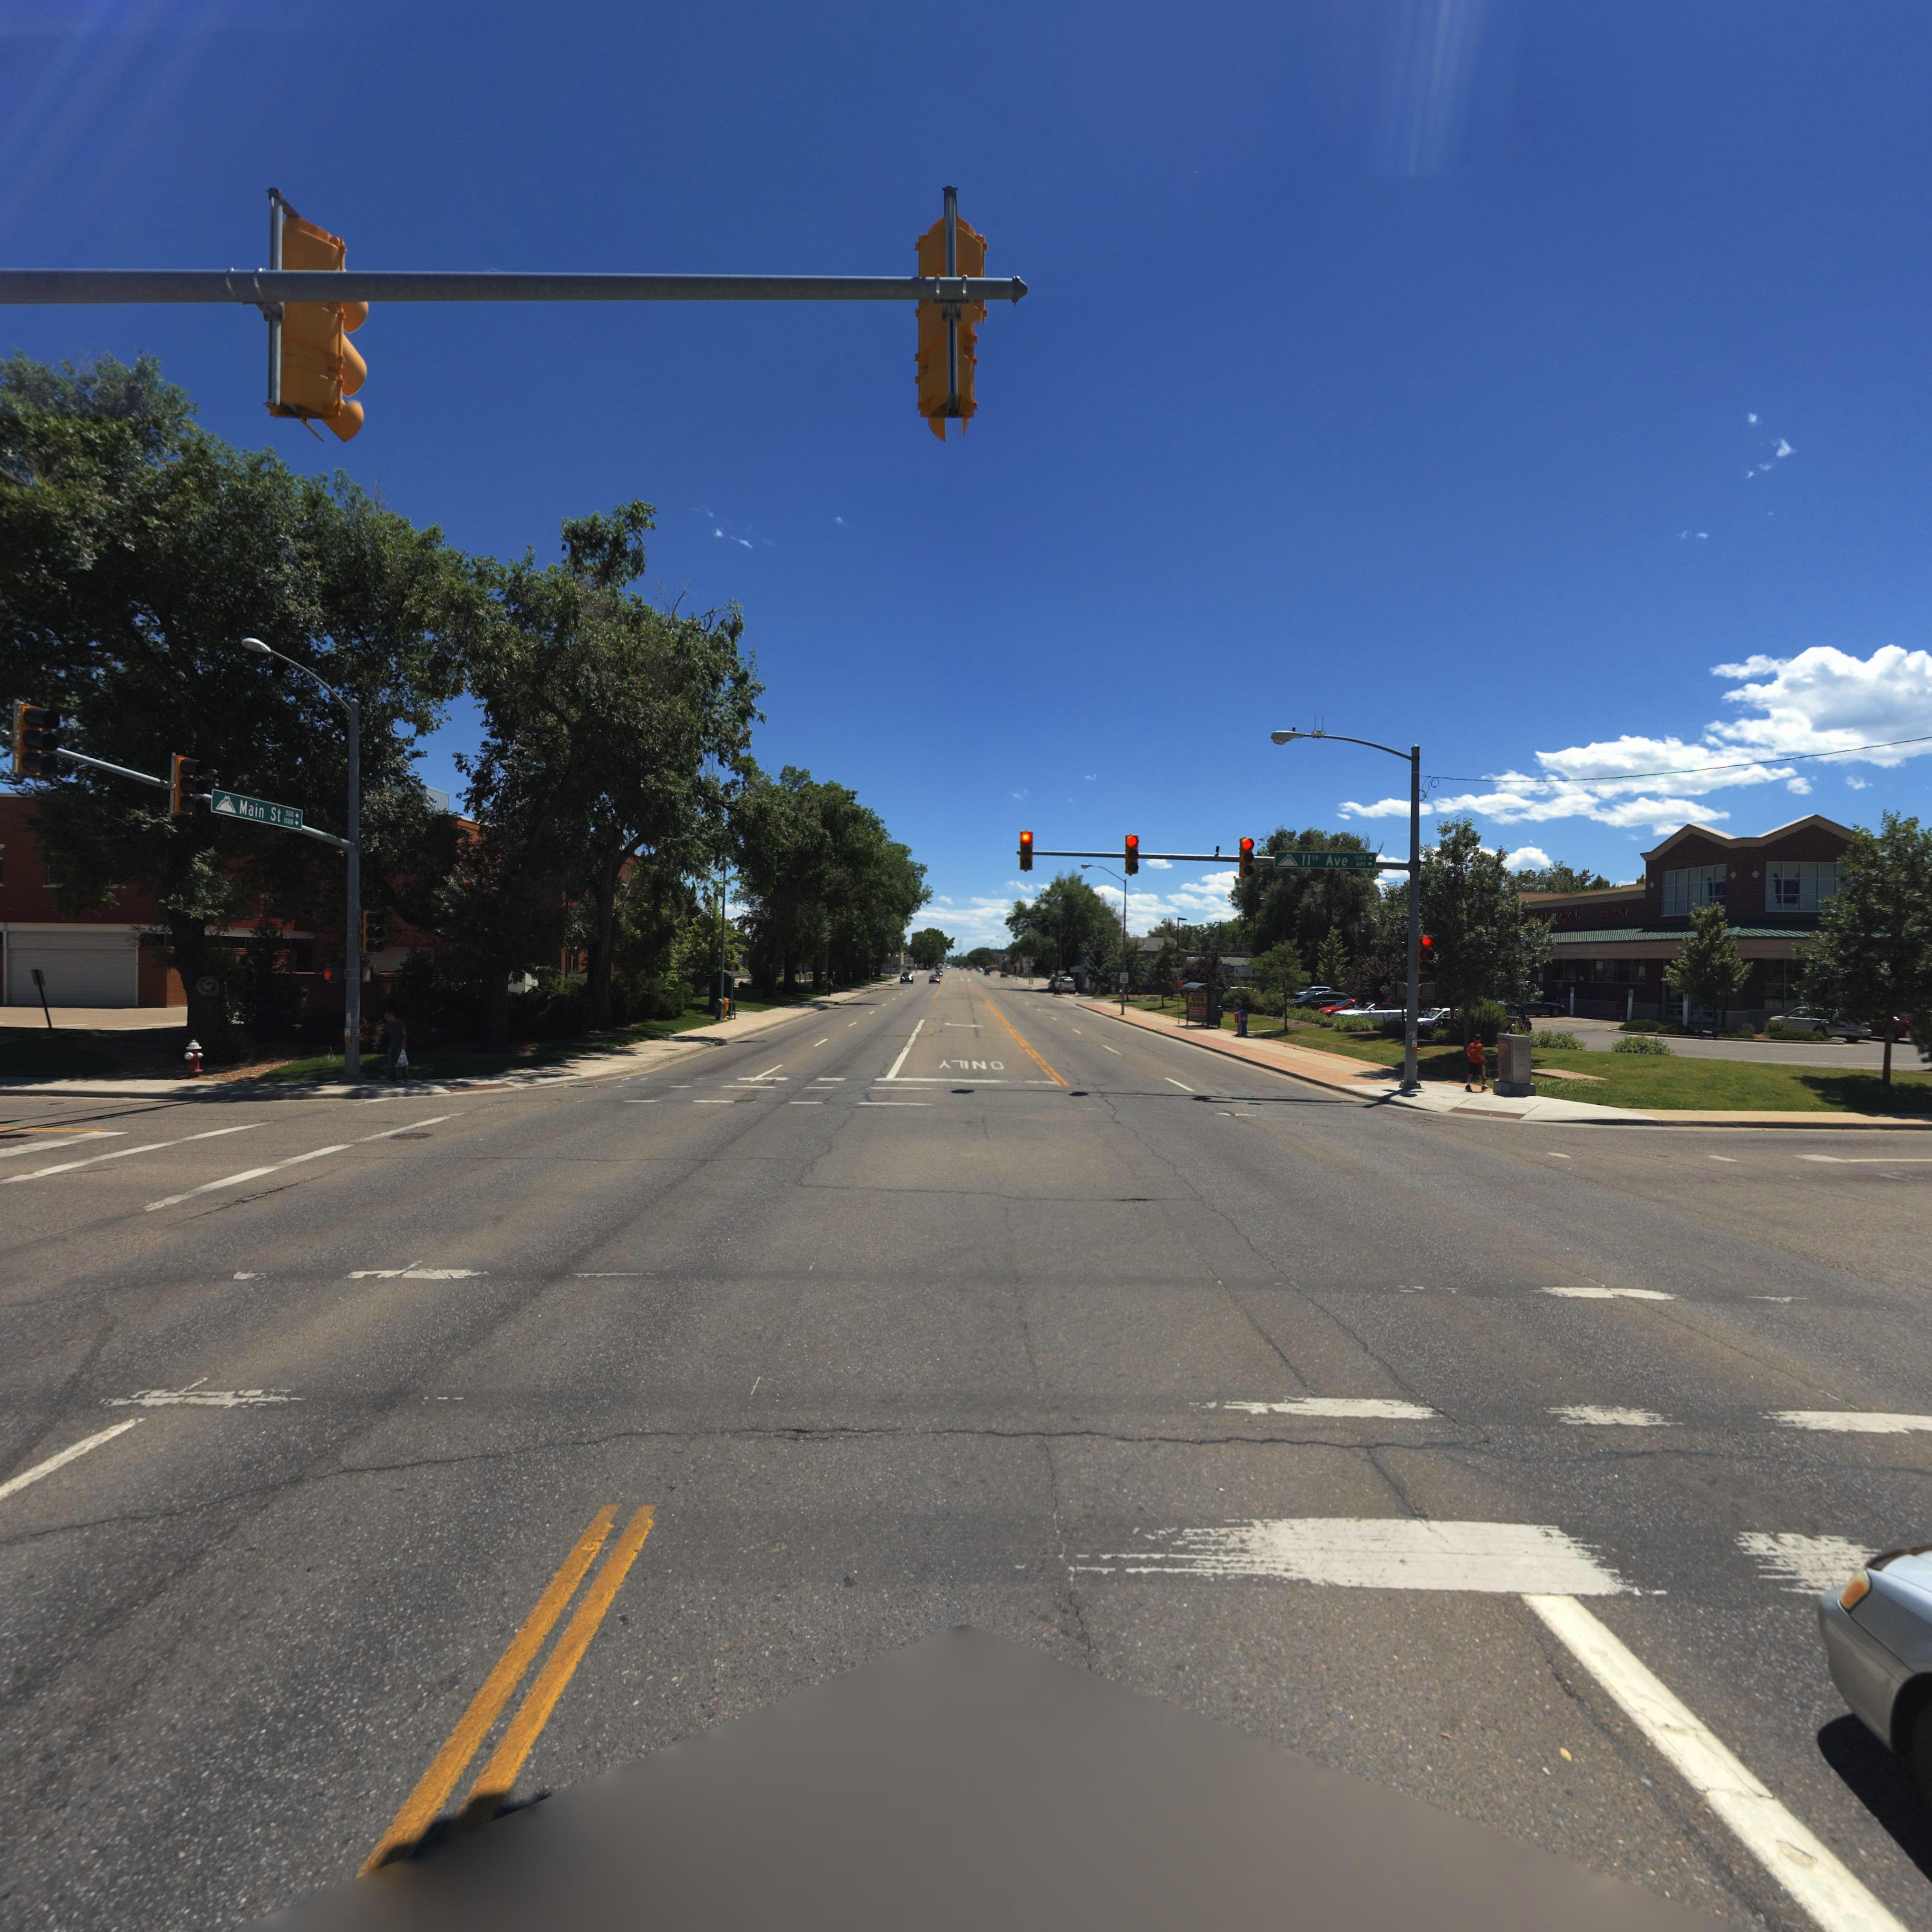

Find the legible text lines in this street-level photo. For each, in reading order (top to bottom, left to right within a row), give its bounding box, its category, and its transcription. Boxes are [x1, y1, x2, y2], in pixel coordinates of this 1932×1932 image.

[239, 799, 281, 822] StreetName: Main St
[285, 809, 294, 817] StreetNumberRange: 500
[283, 817, 299, 826] StreetNumberRange: 1000->
[1301, 854, 1348, 866] StreetName: 11th Ave
[1354, 855, 1366, 860] StreetNumberRange: 1000
[1355, 861, 1373, 867] StreetNumberRange: 600->
[1557, 908, 1582, 922] BusinessName: ns